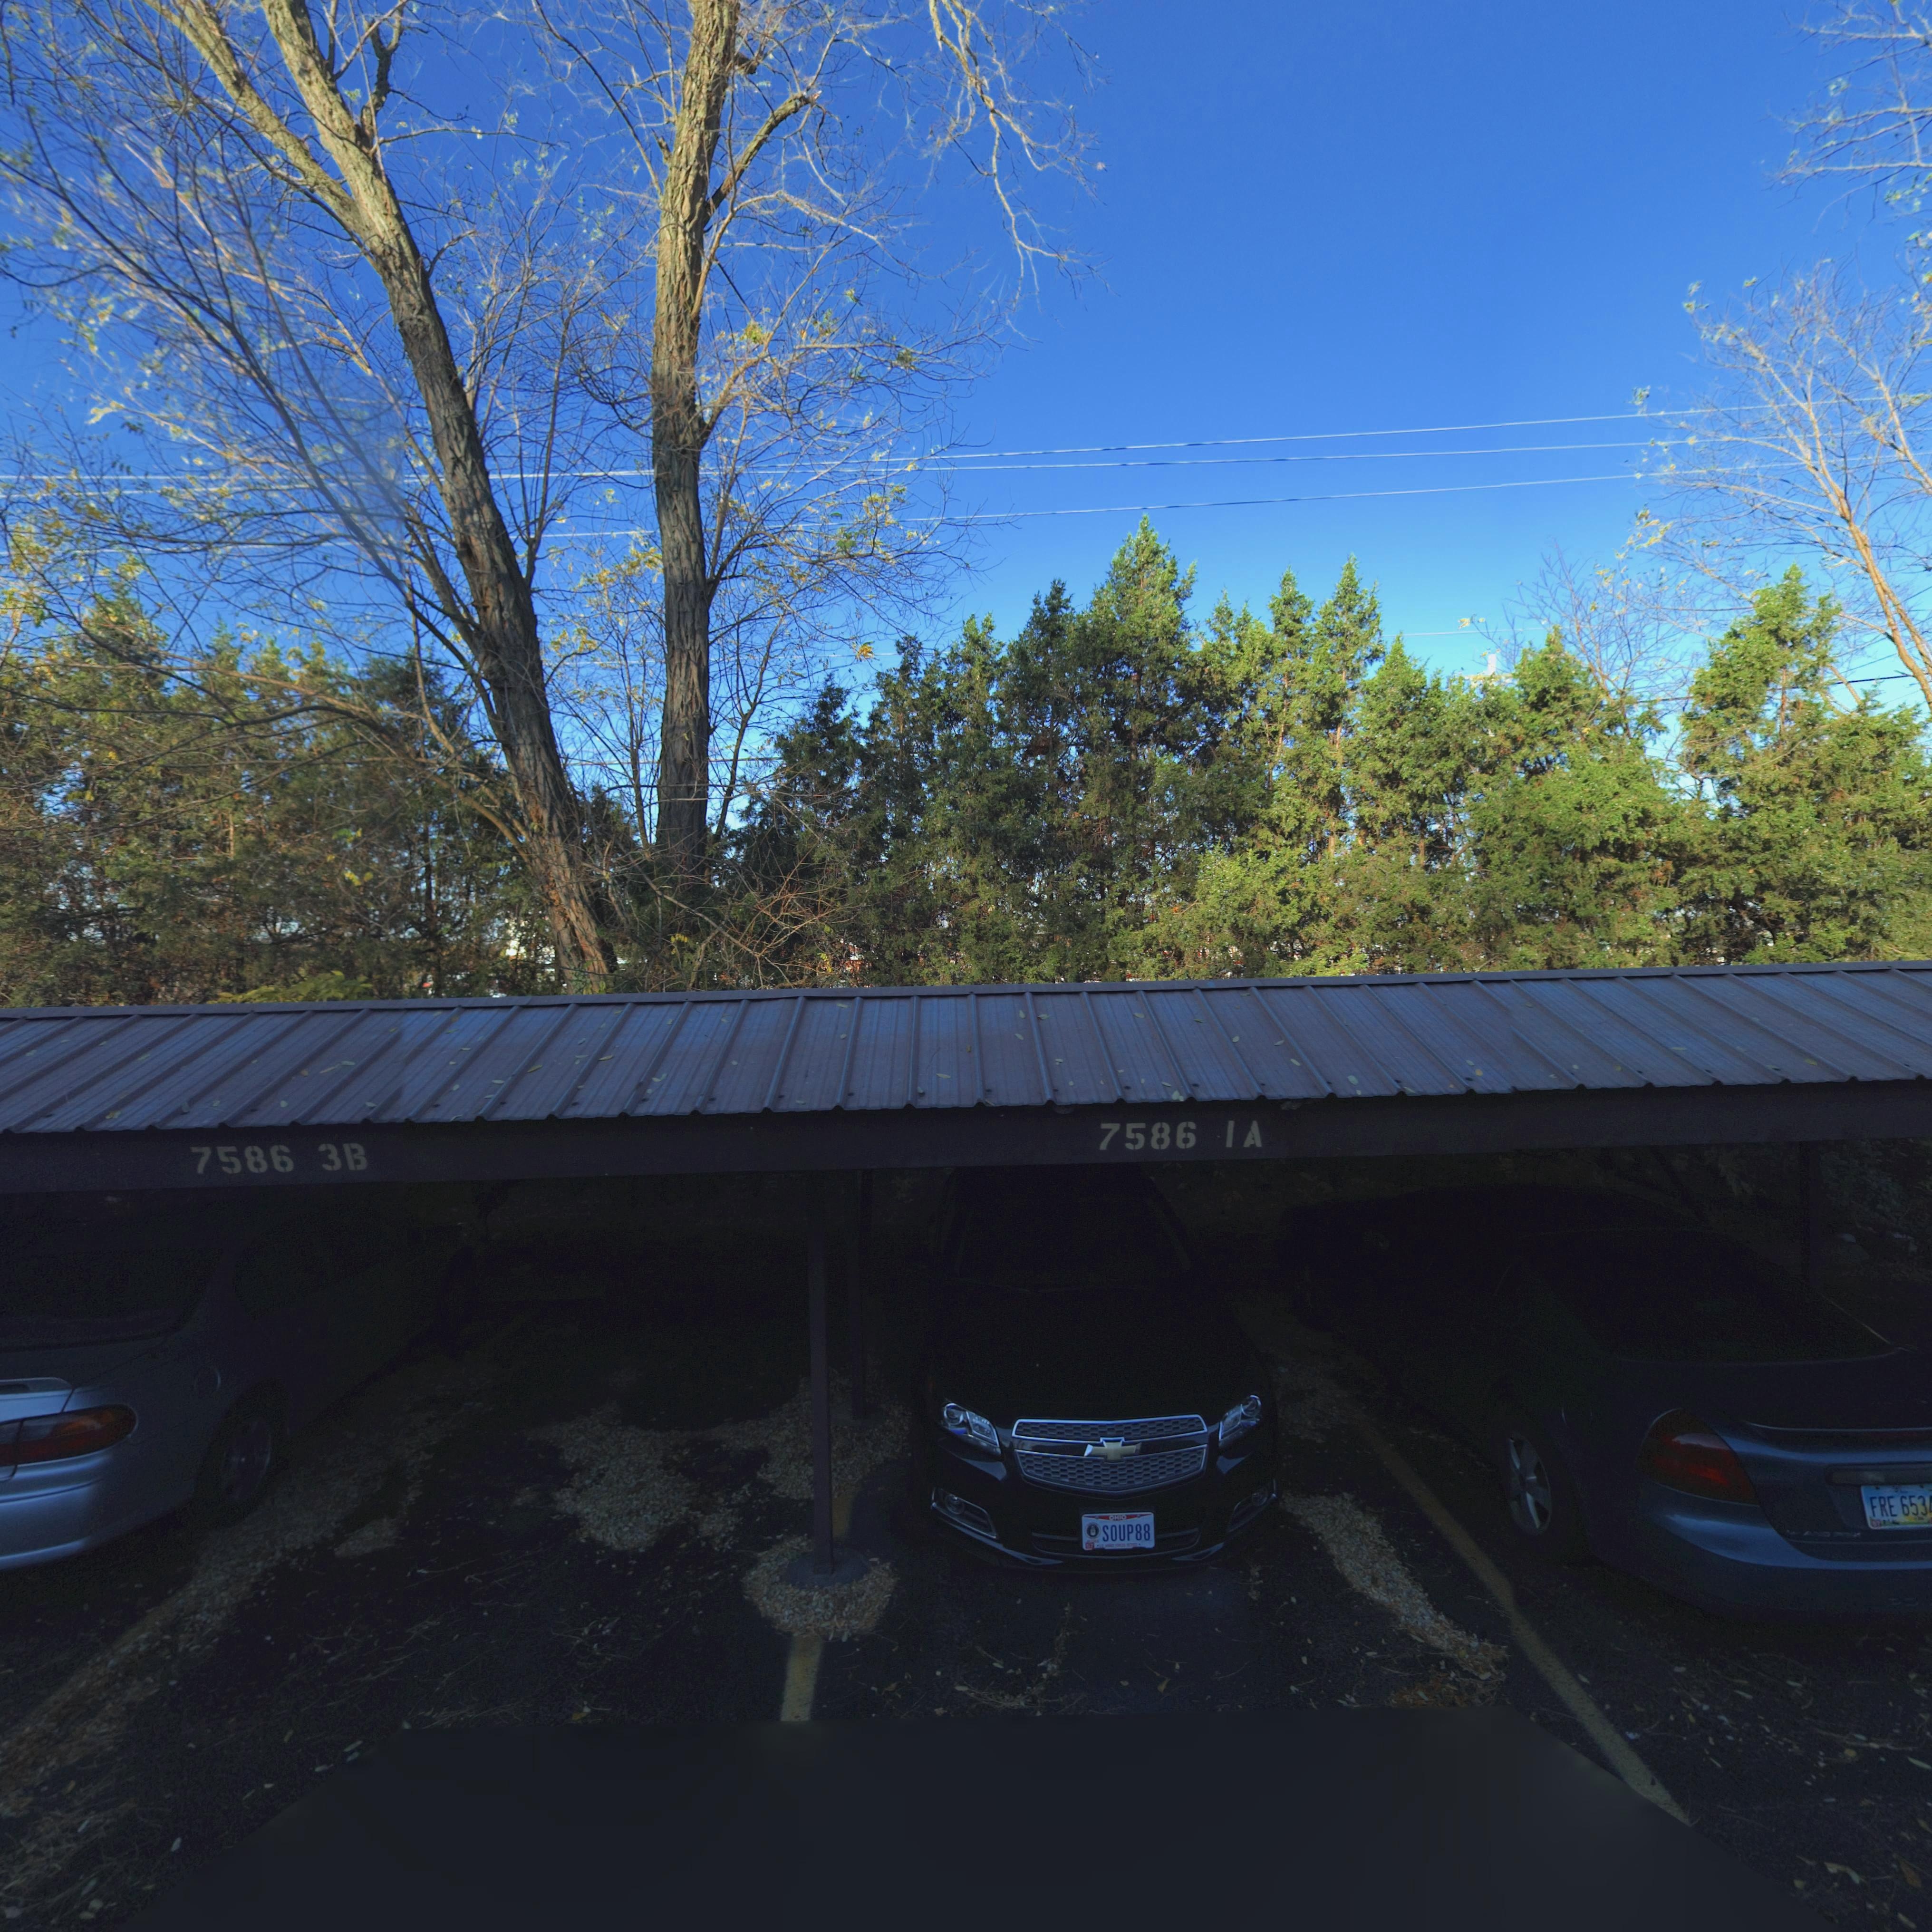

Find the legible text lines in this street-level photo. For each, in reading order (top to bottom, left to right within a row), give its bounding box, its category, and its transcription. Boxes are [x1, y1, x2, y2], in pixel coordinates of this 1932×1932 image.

[1098, 1120, 1198, 1151] StreetNumber: 7586
[189, 1144, 295, 1175] StreetNumber: 7586